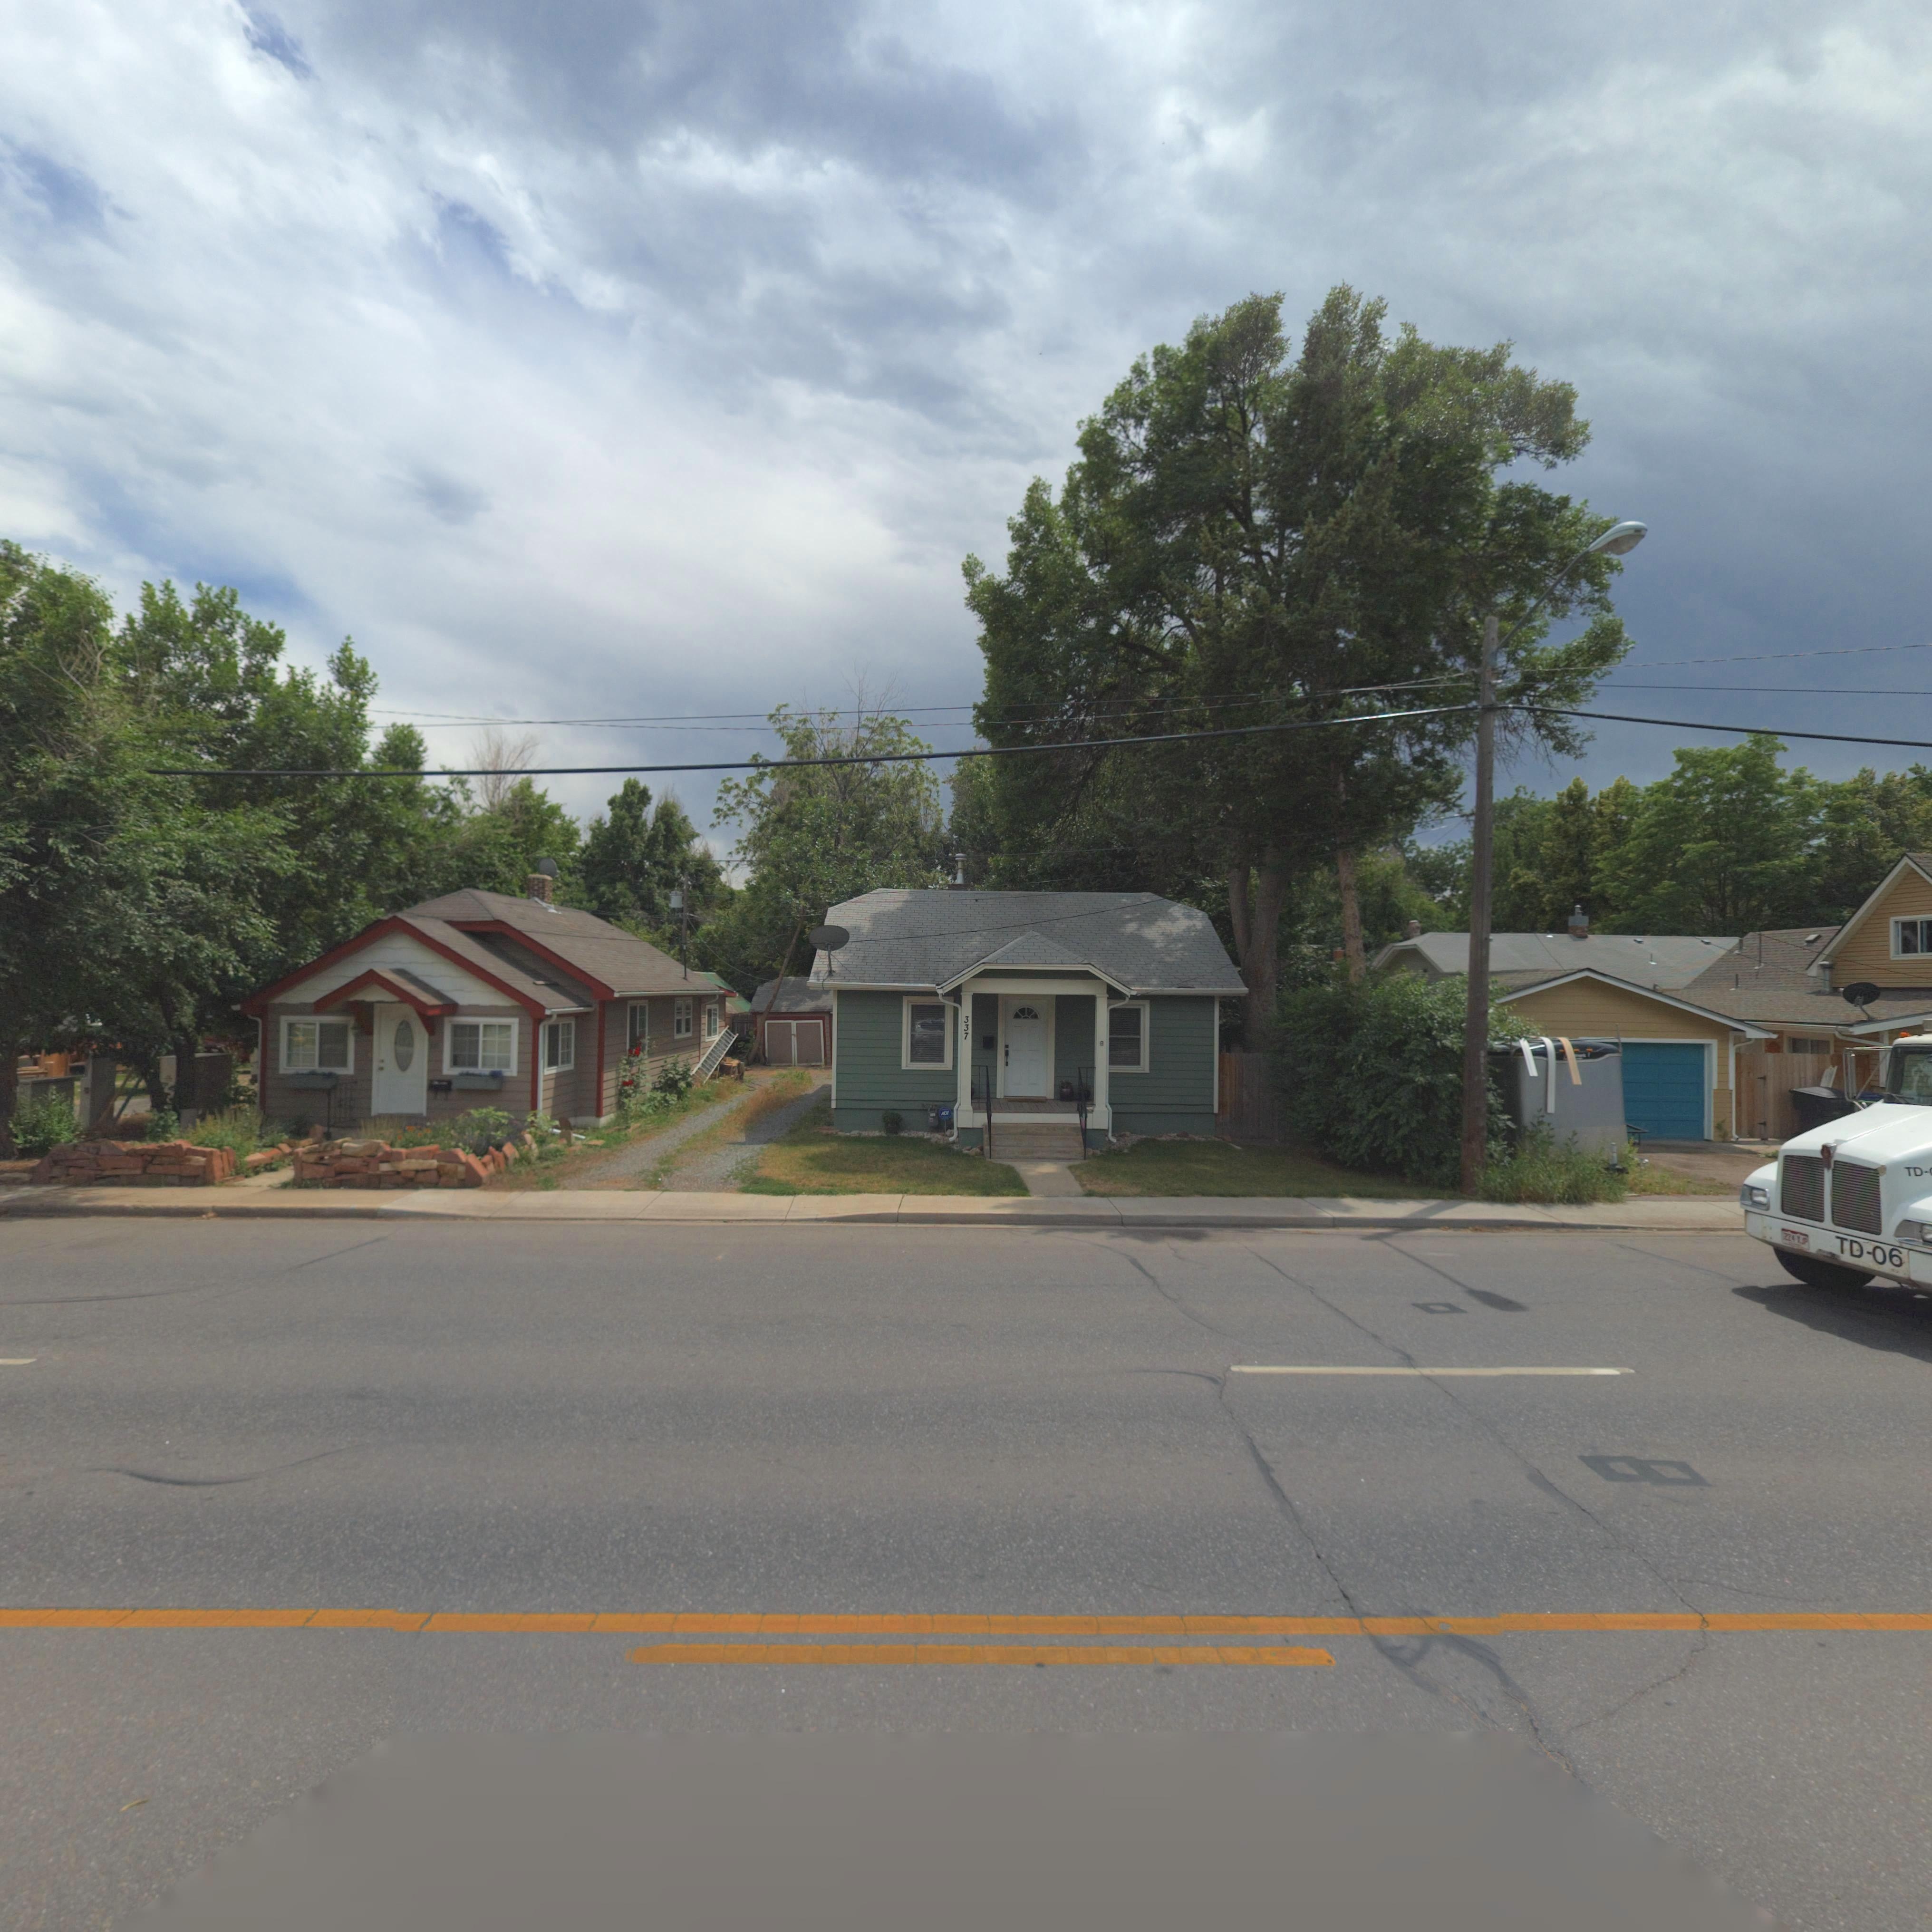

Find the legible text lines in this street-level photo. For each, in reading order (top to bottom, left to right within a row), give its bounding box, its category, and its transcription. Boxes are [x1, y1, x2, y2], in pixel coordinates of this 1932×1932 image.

[964, 1015, 969, 1040] StreetNumber: 337